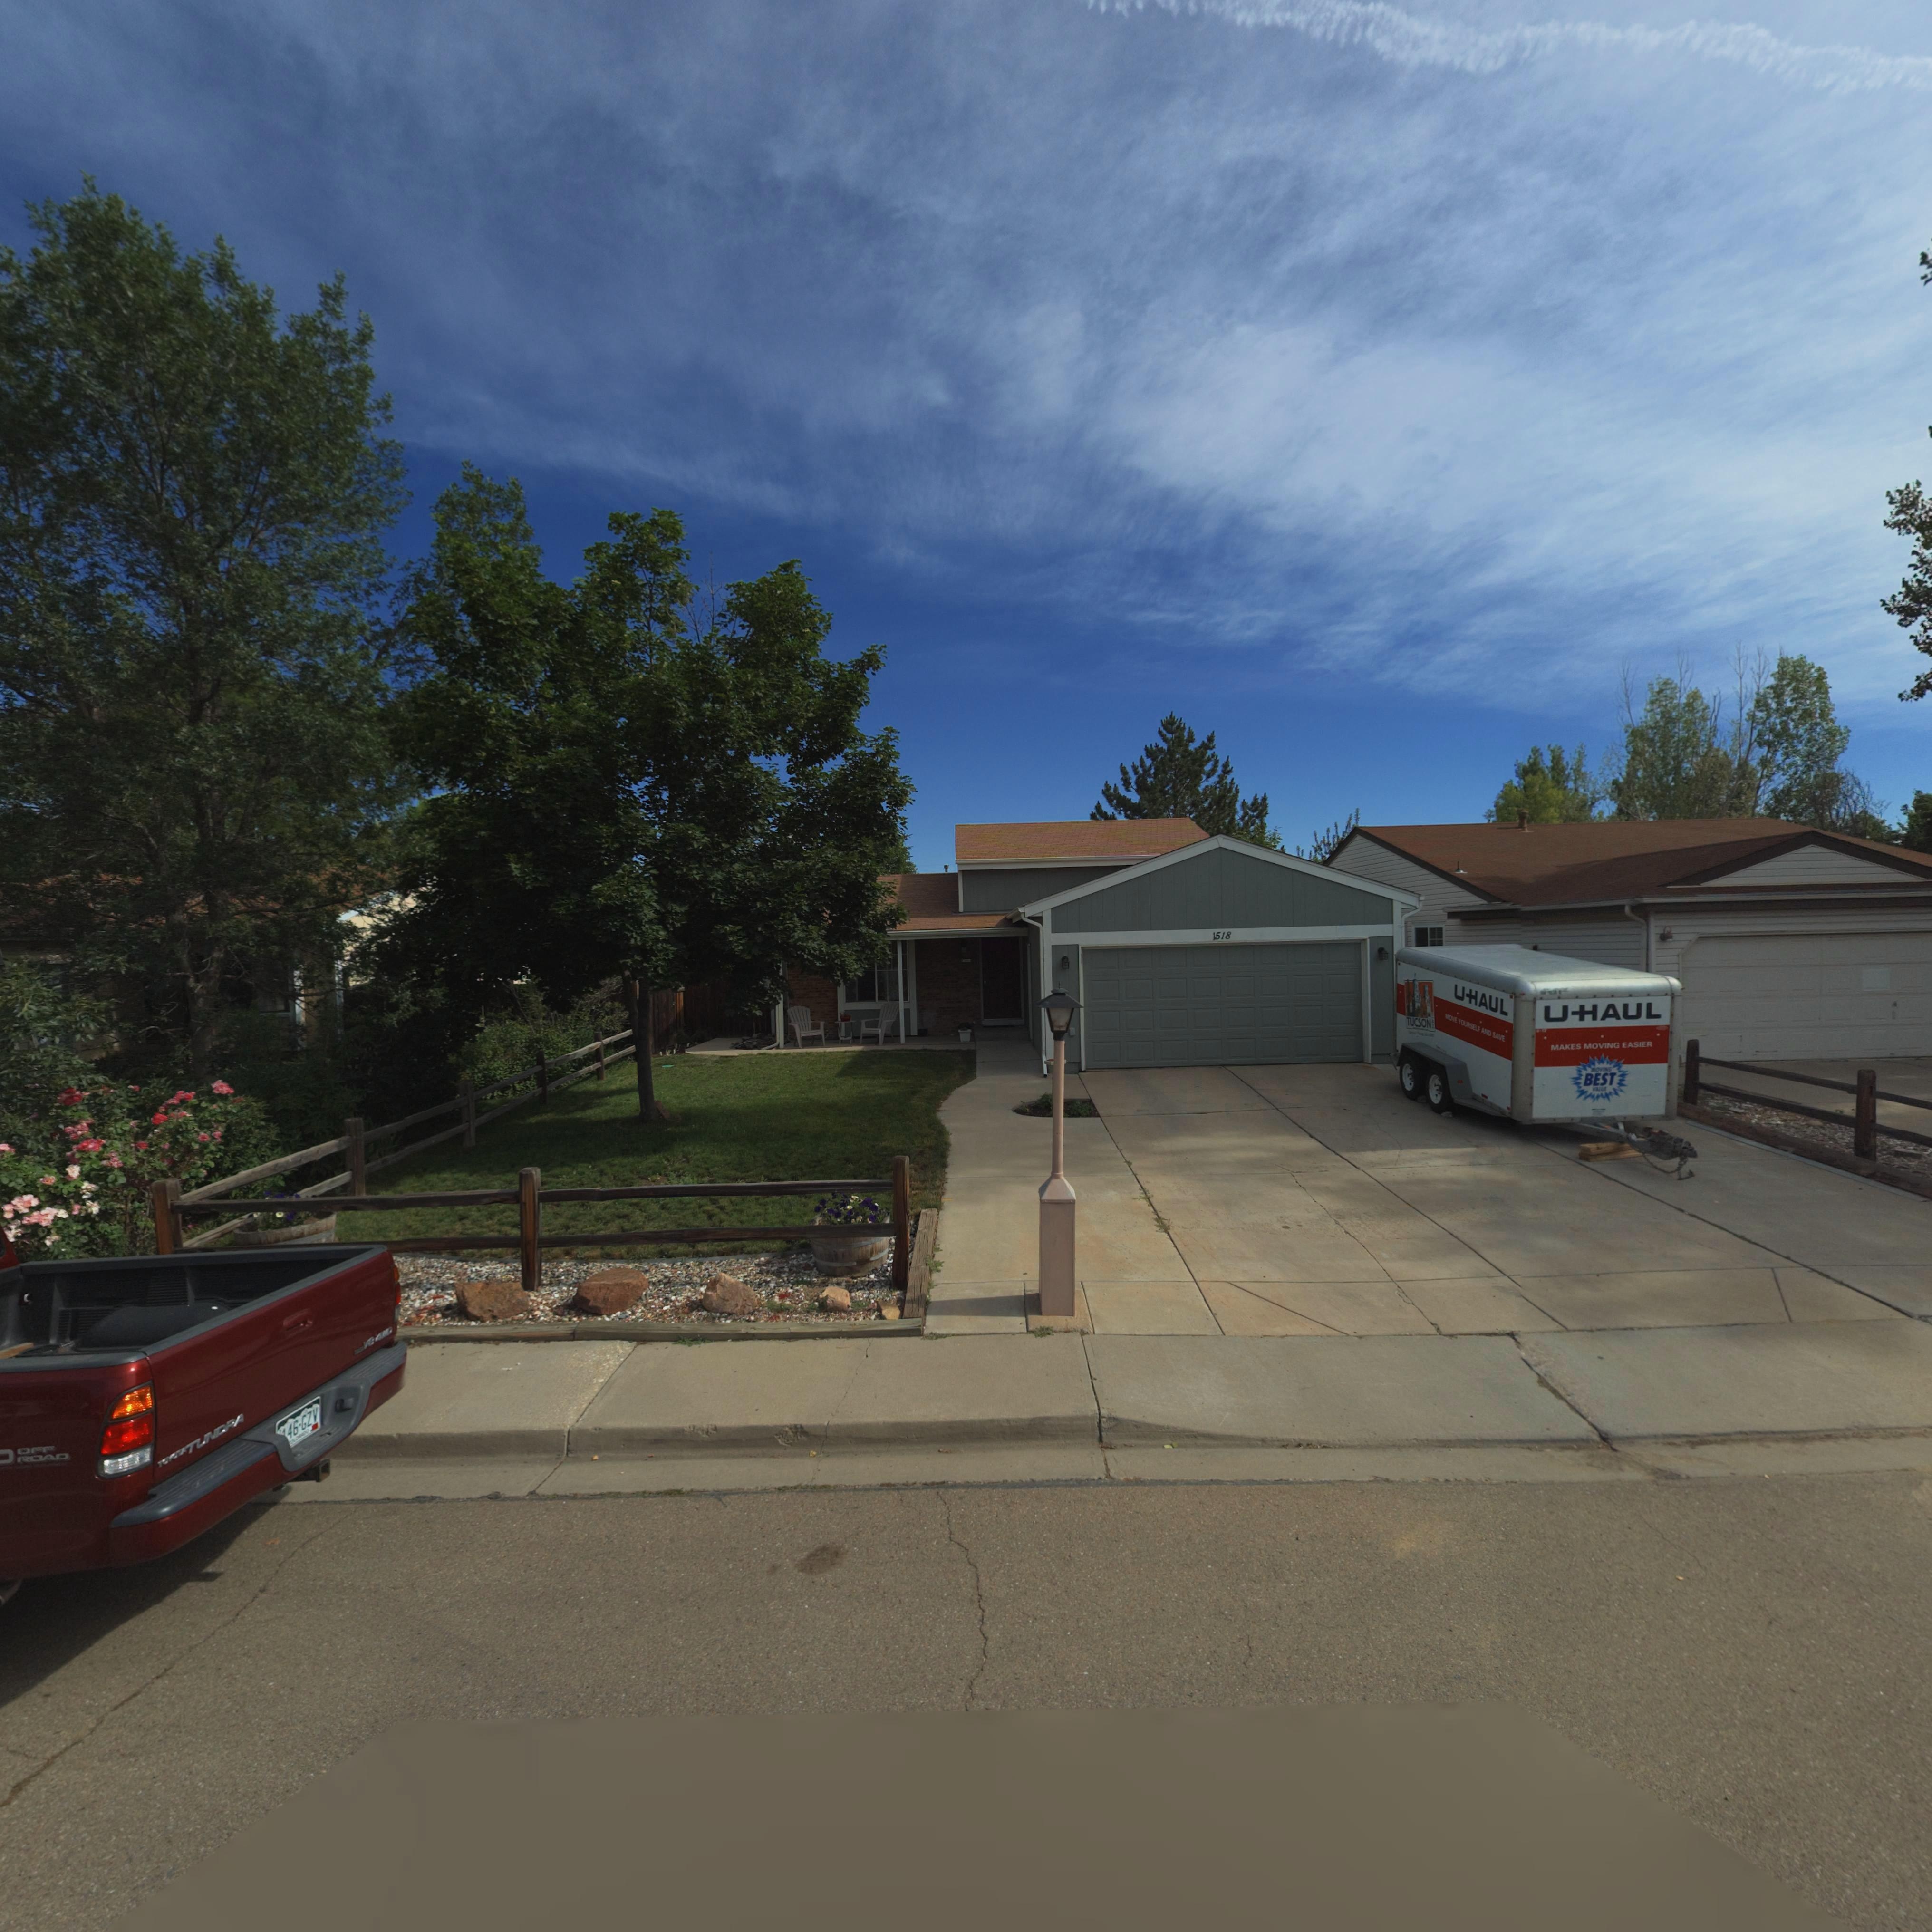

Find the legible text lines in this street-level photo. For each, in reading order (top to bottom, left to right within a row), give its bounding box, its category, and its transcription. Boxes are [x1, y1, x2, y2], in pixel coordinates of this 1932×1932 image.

[1212, 931, 1231, 941] StreetNumber: 1518